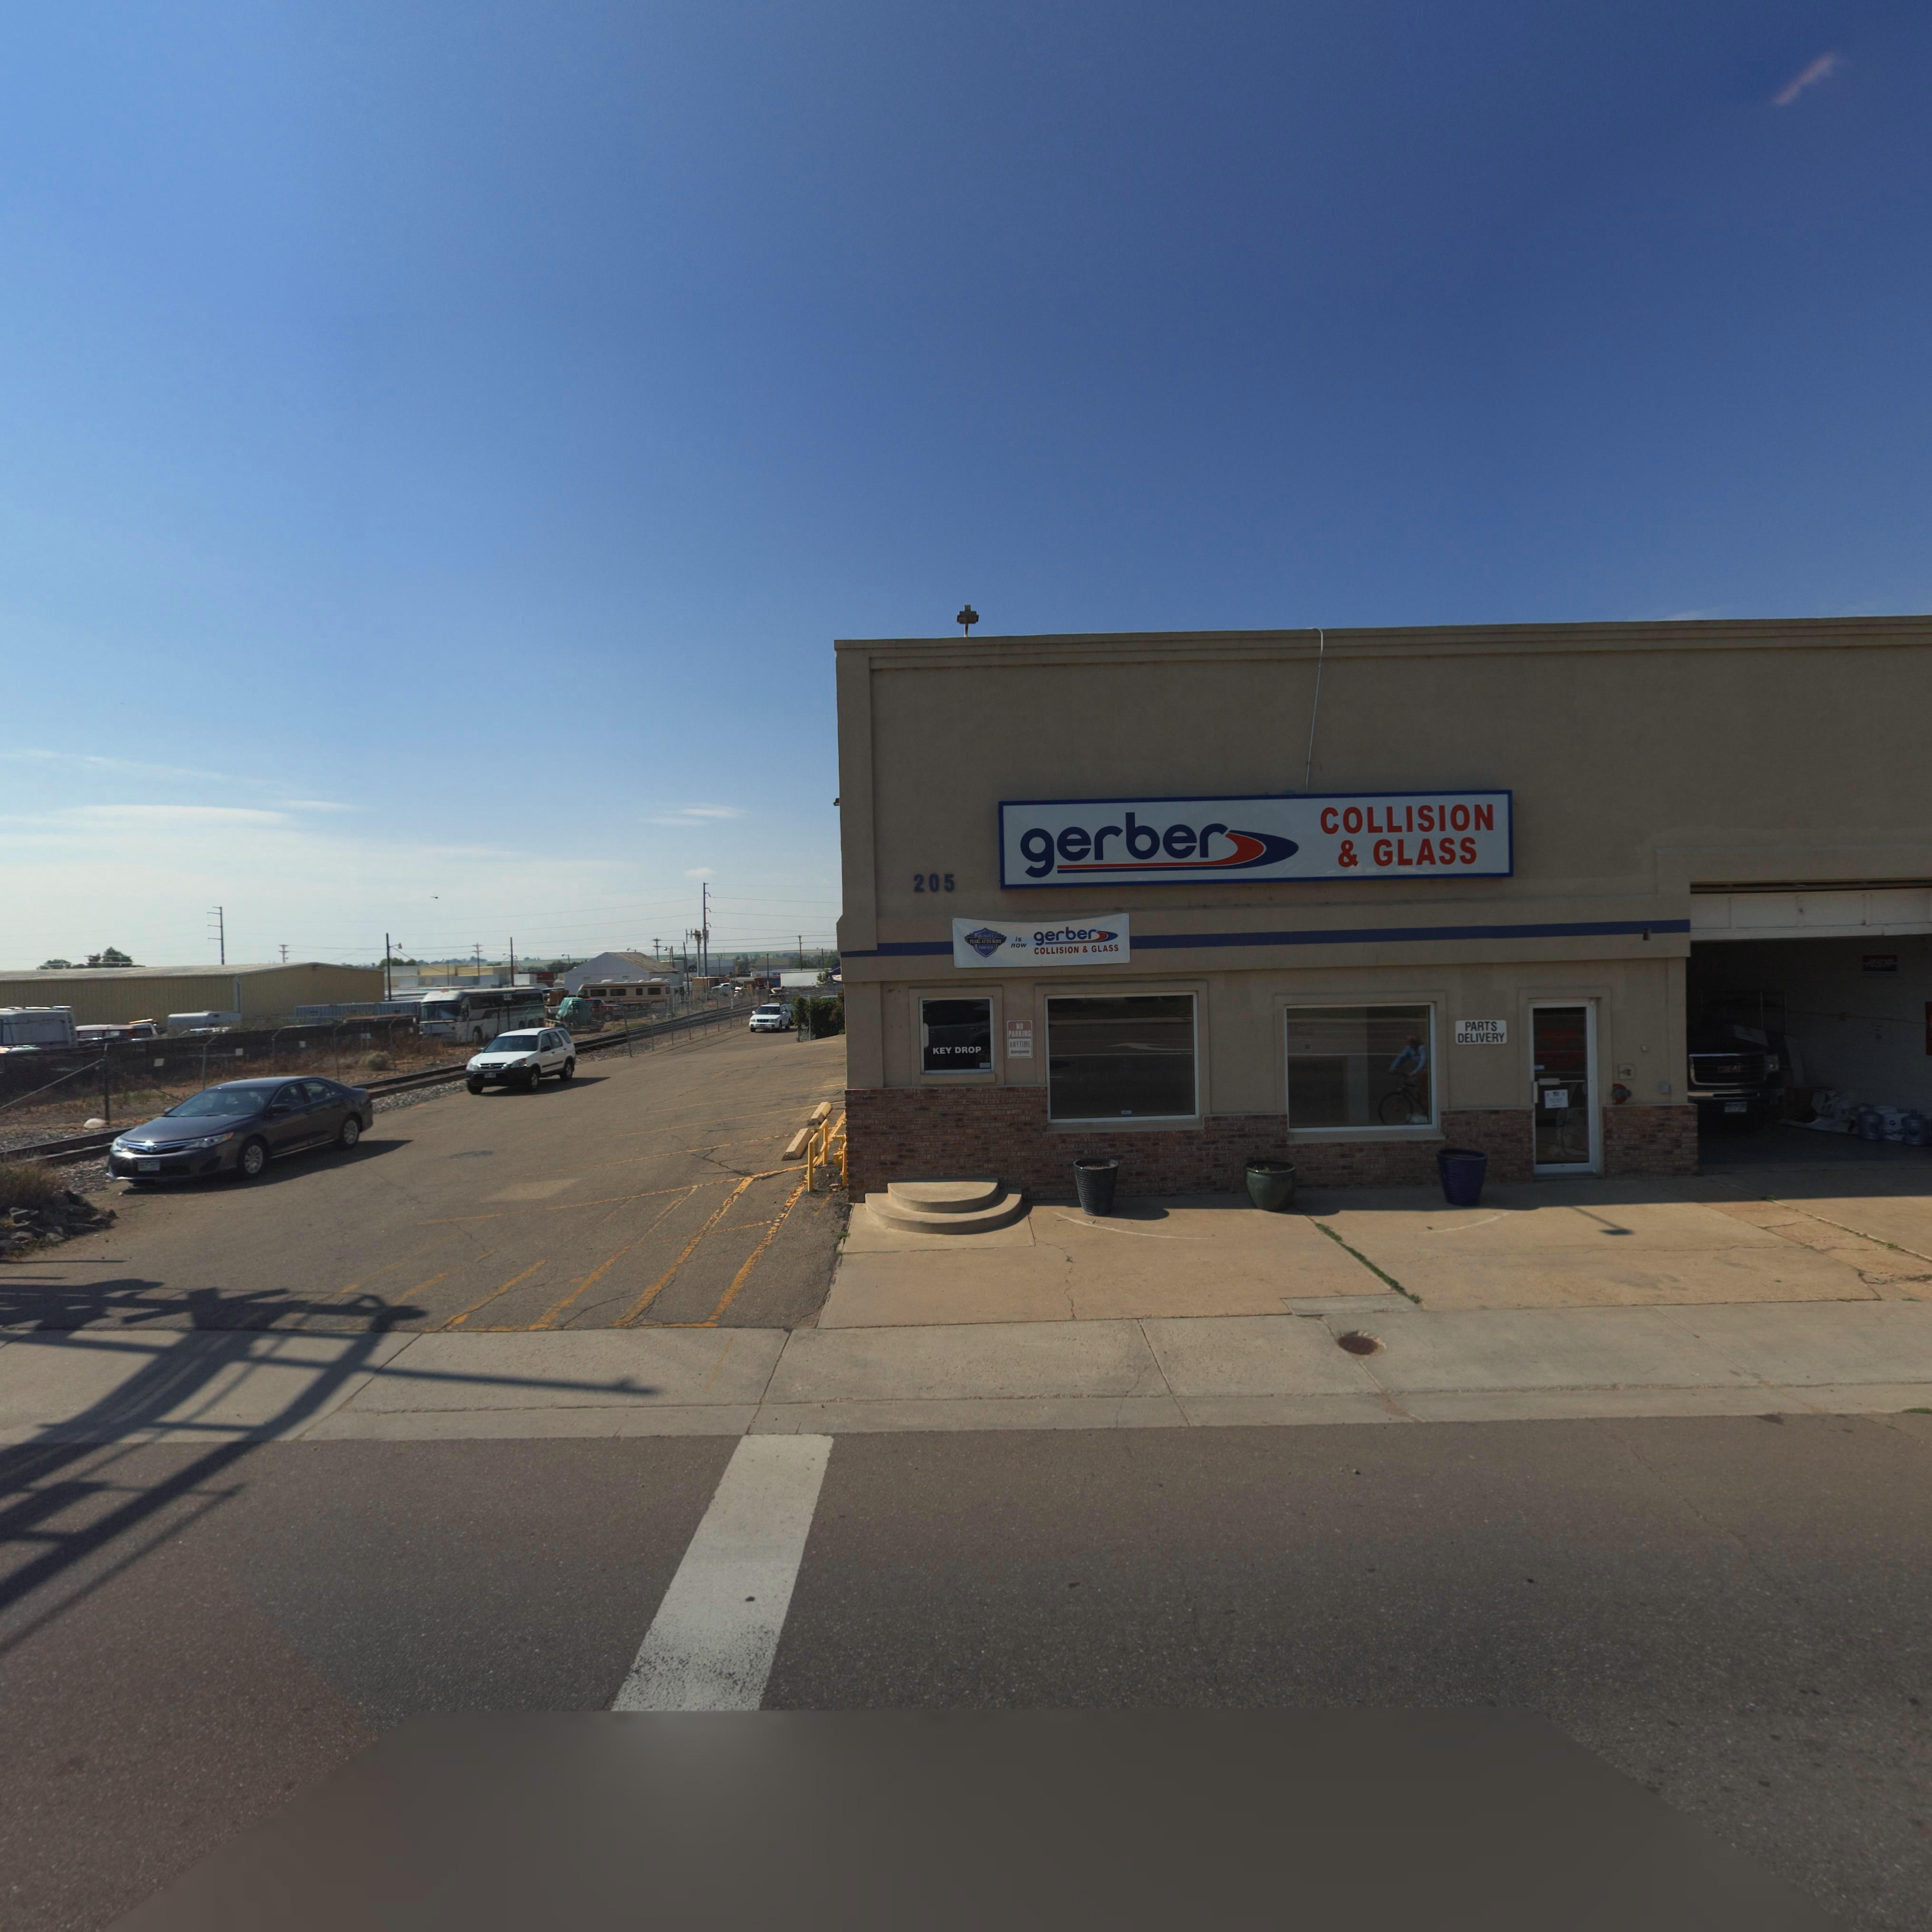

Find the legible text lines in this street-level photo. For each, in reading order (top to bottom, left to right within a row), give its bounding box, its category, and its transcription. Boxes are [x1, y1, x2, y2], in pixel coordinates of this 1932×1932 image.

[1317, 802, 1497, 836] BusinessName: COLLISION
[1017, 809, 1230, 879] BusinessName: gerber
[1334, 835, 1479, 870] BusinessName: & GLASS
[912, 873, 955, 893] StreetNumber: 205
[1033, 926, 1098, 946] BusinessName: gerber
[1034, 944, 1119, 955] BusinessName: COLLISION & GLASS